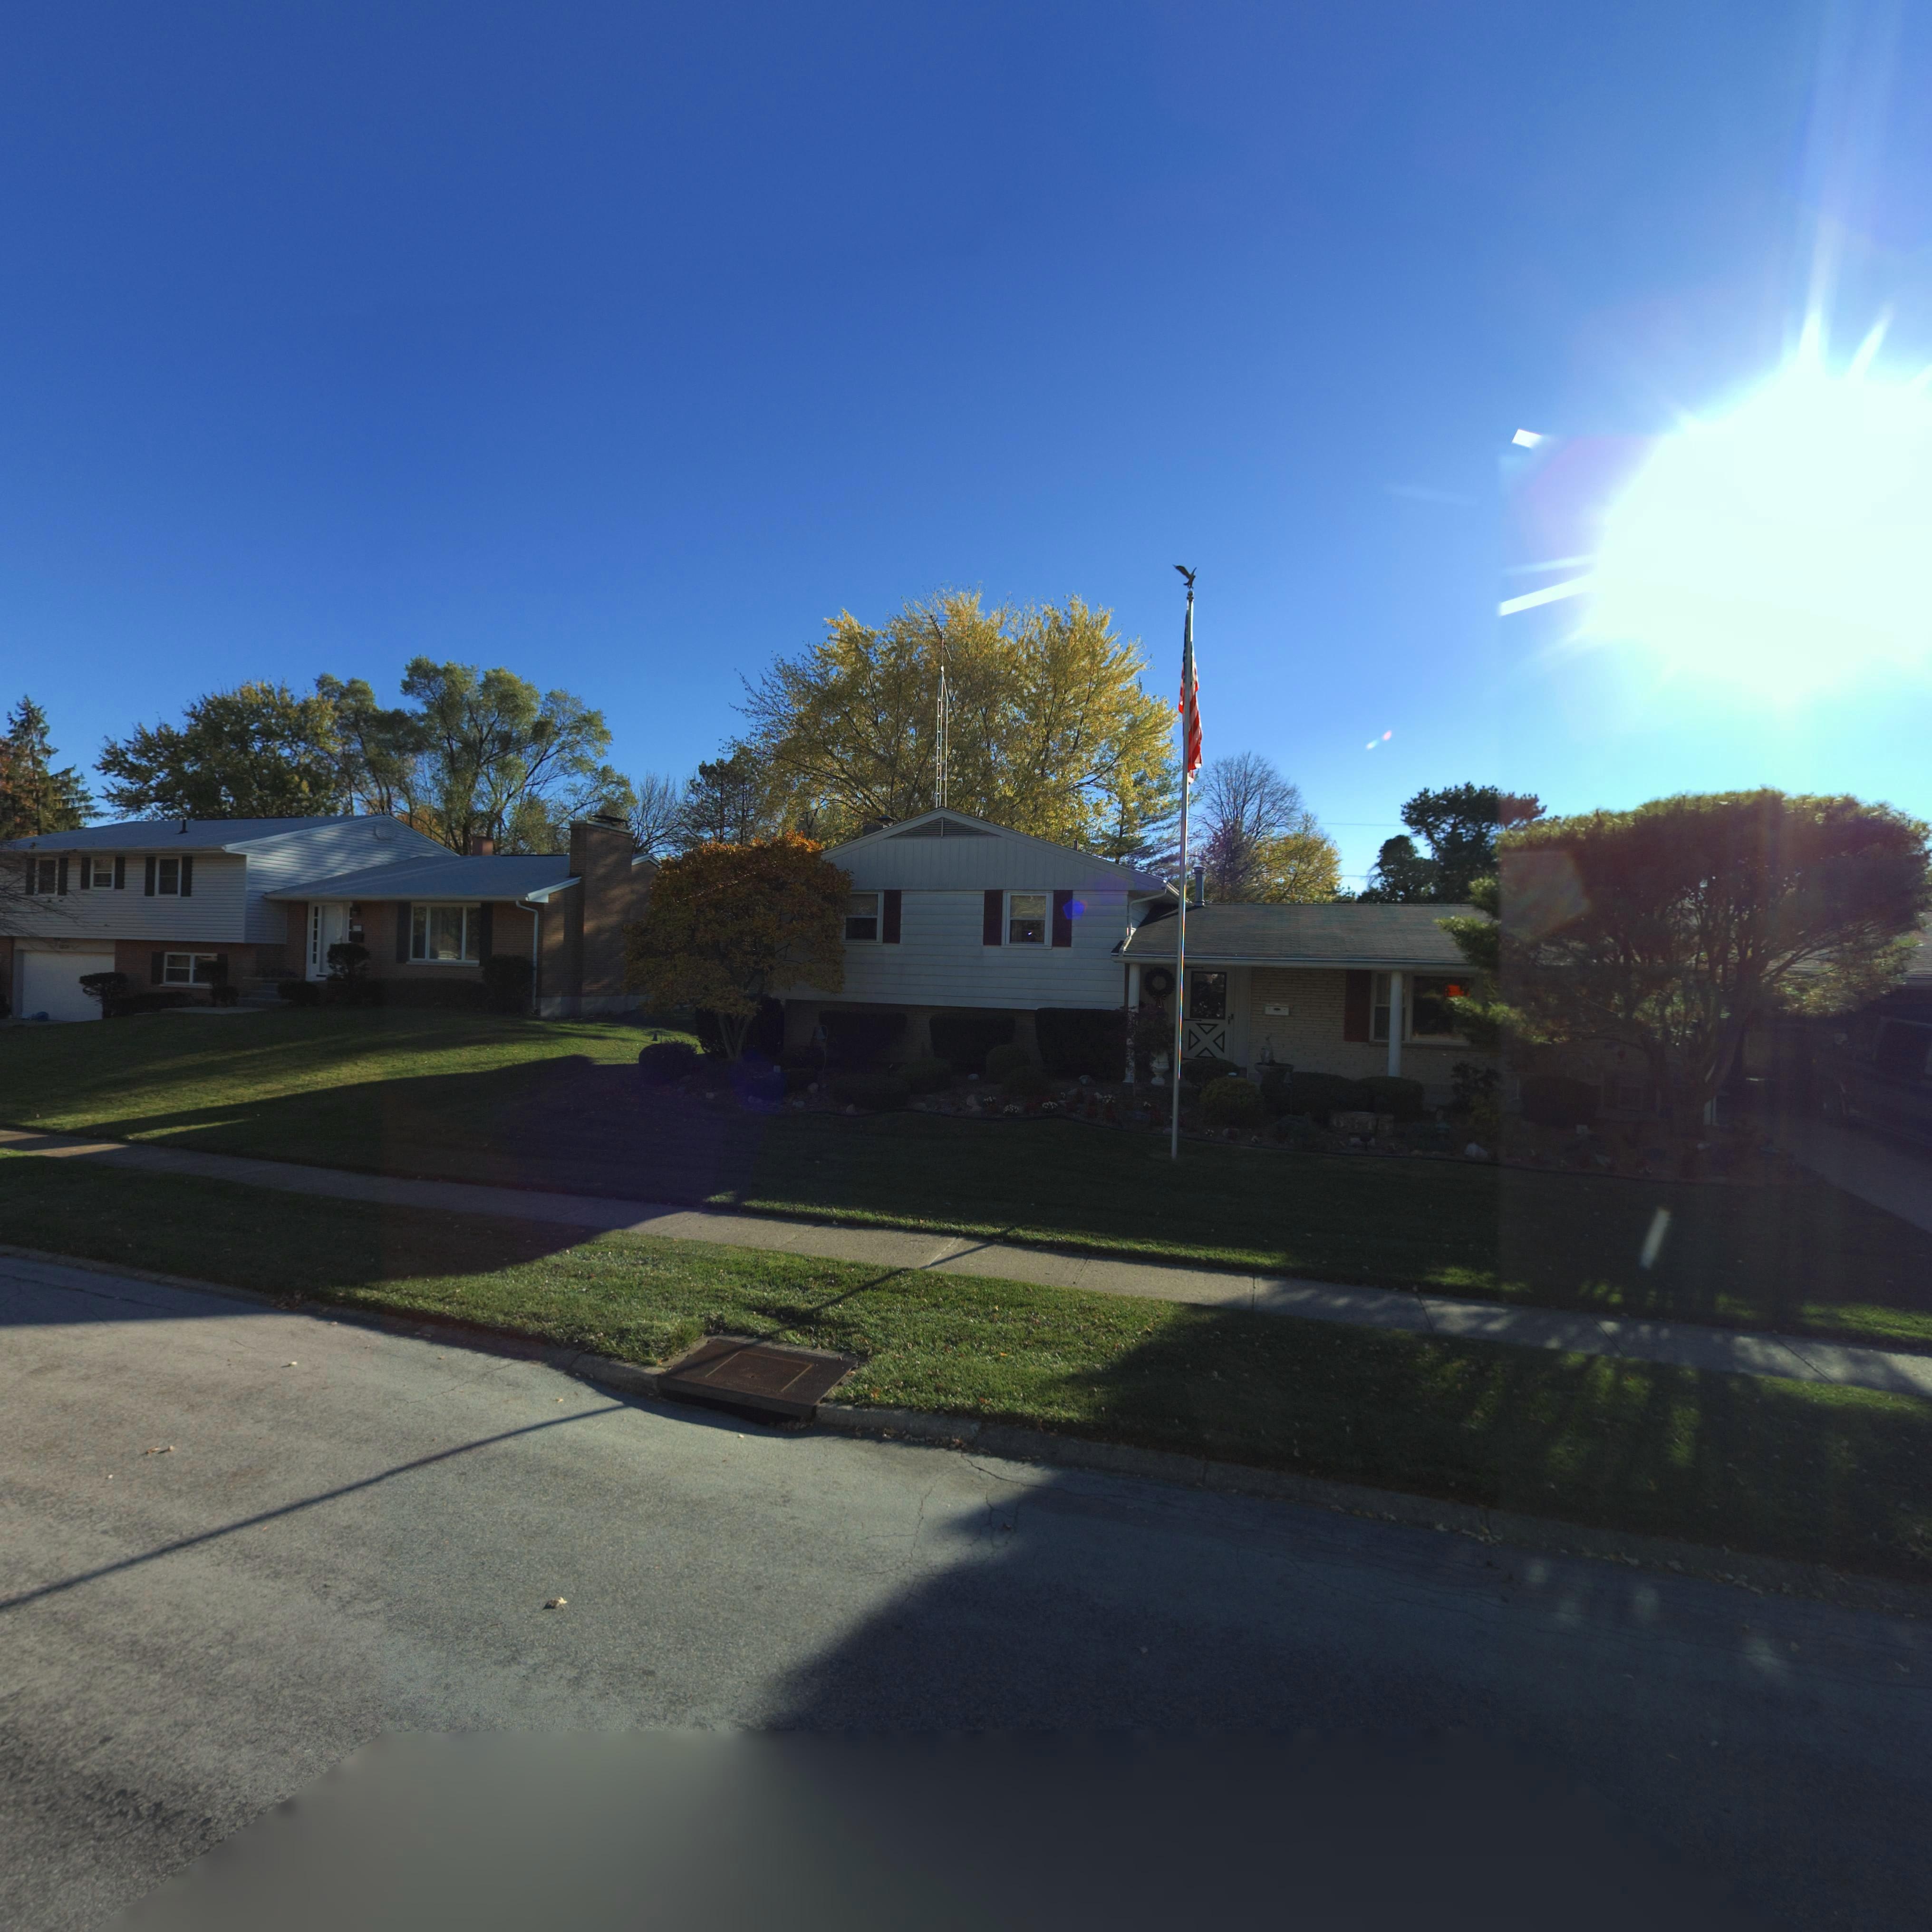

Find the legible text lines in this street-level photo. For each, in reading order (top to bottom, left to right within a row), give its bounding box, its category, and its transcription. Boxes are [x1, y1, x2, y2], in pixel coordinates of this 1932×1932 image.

[1332, 1114, 1391, 1133] StreetNumber: 68*5